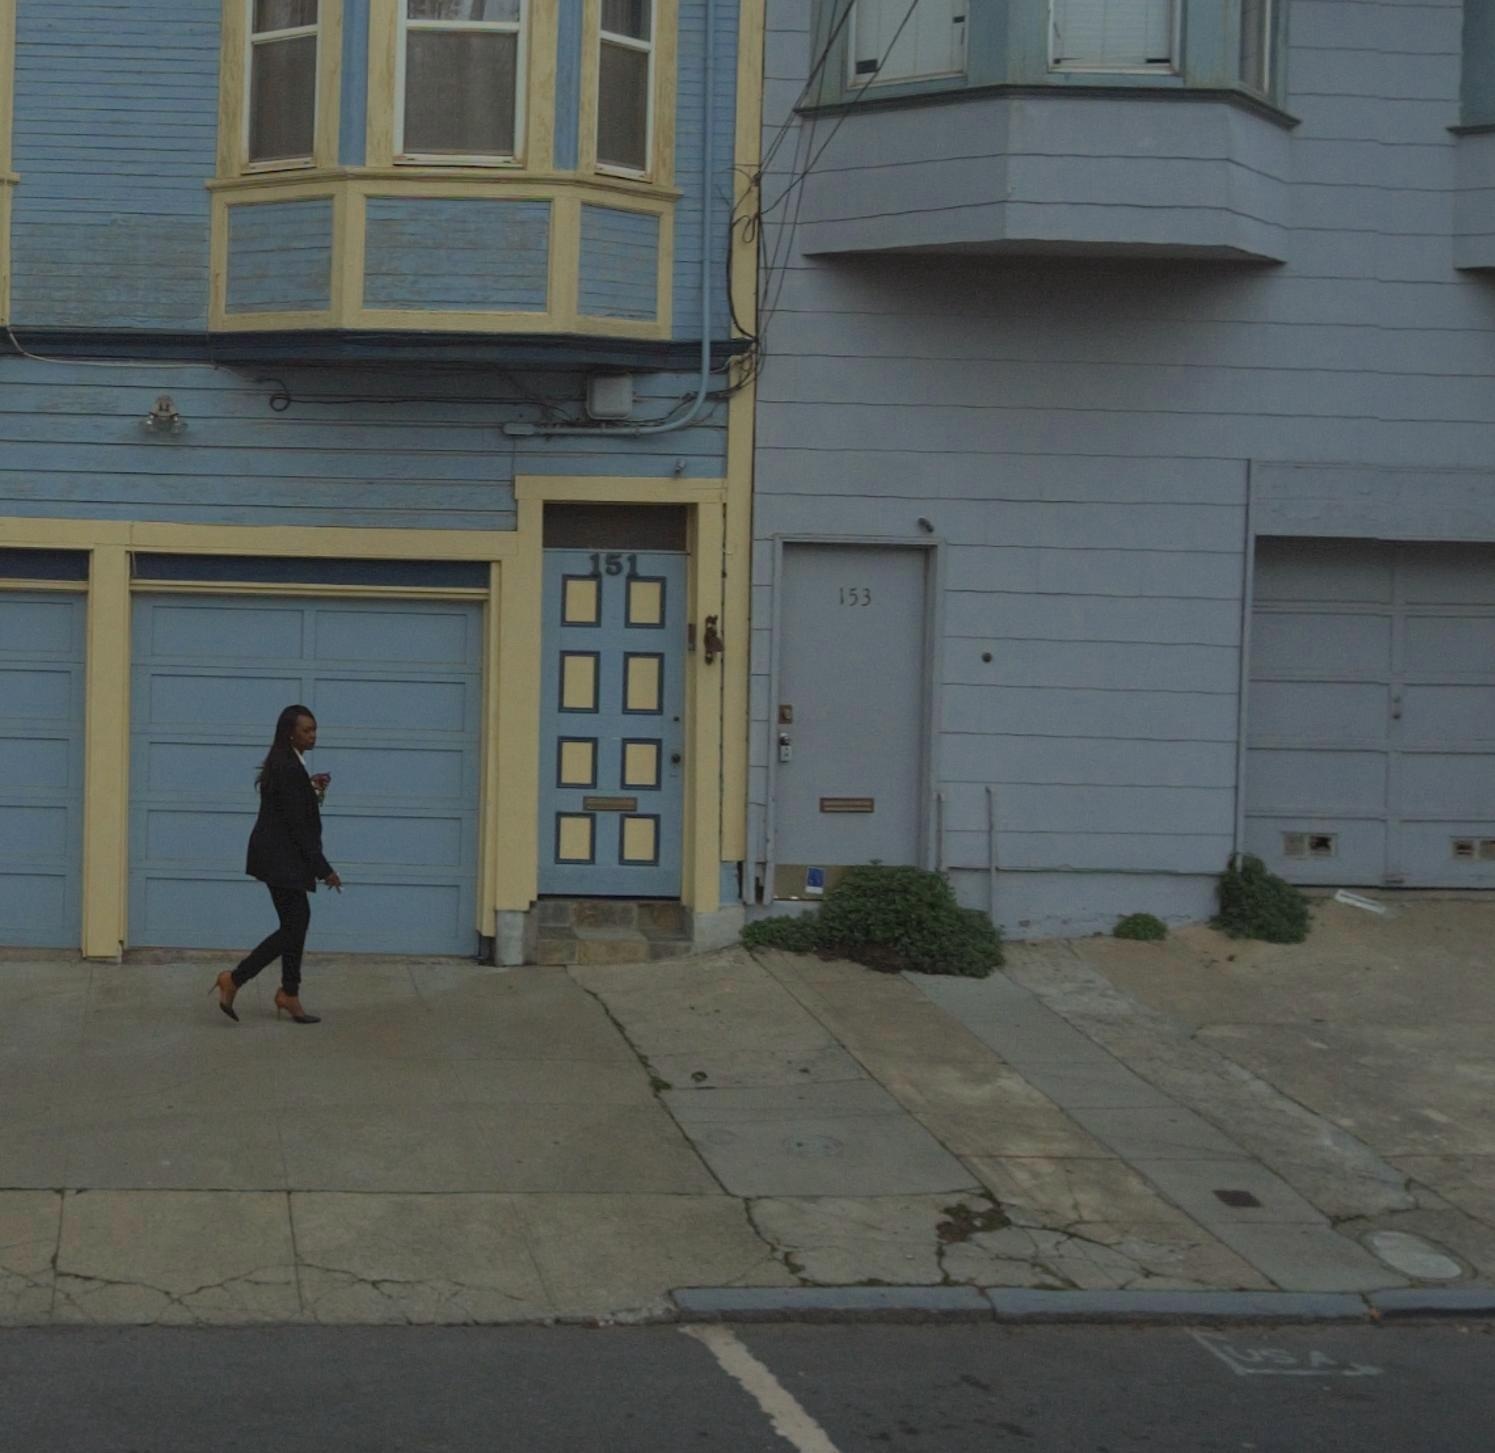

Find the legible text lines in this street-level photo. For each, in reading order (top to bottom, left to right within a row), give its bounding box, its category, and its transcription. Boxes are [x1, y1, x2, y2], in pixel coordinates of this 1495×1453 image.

[587, 551, 640, 578] StreetNumber: 151
[837, 586, 874, 607] StreetNumber: 153